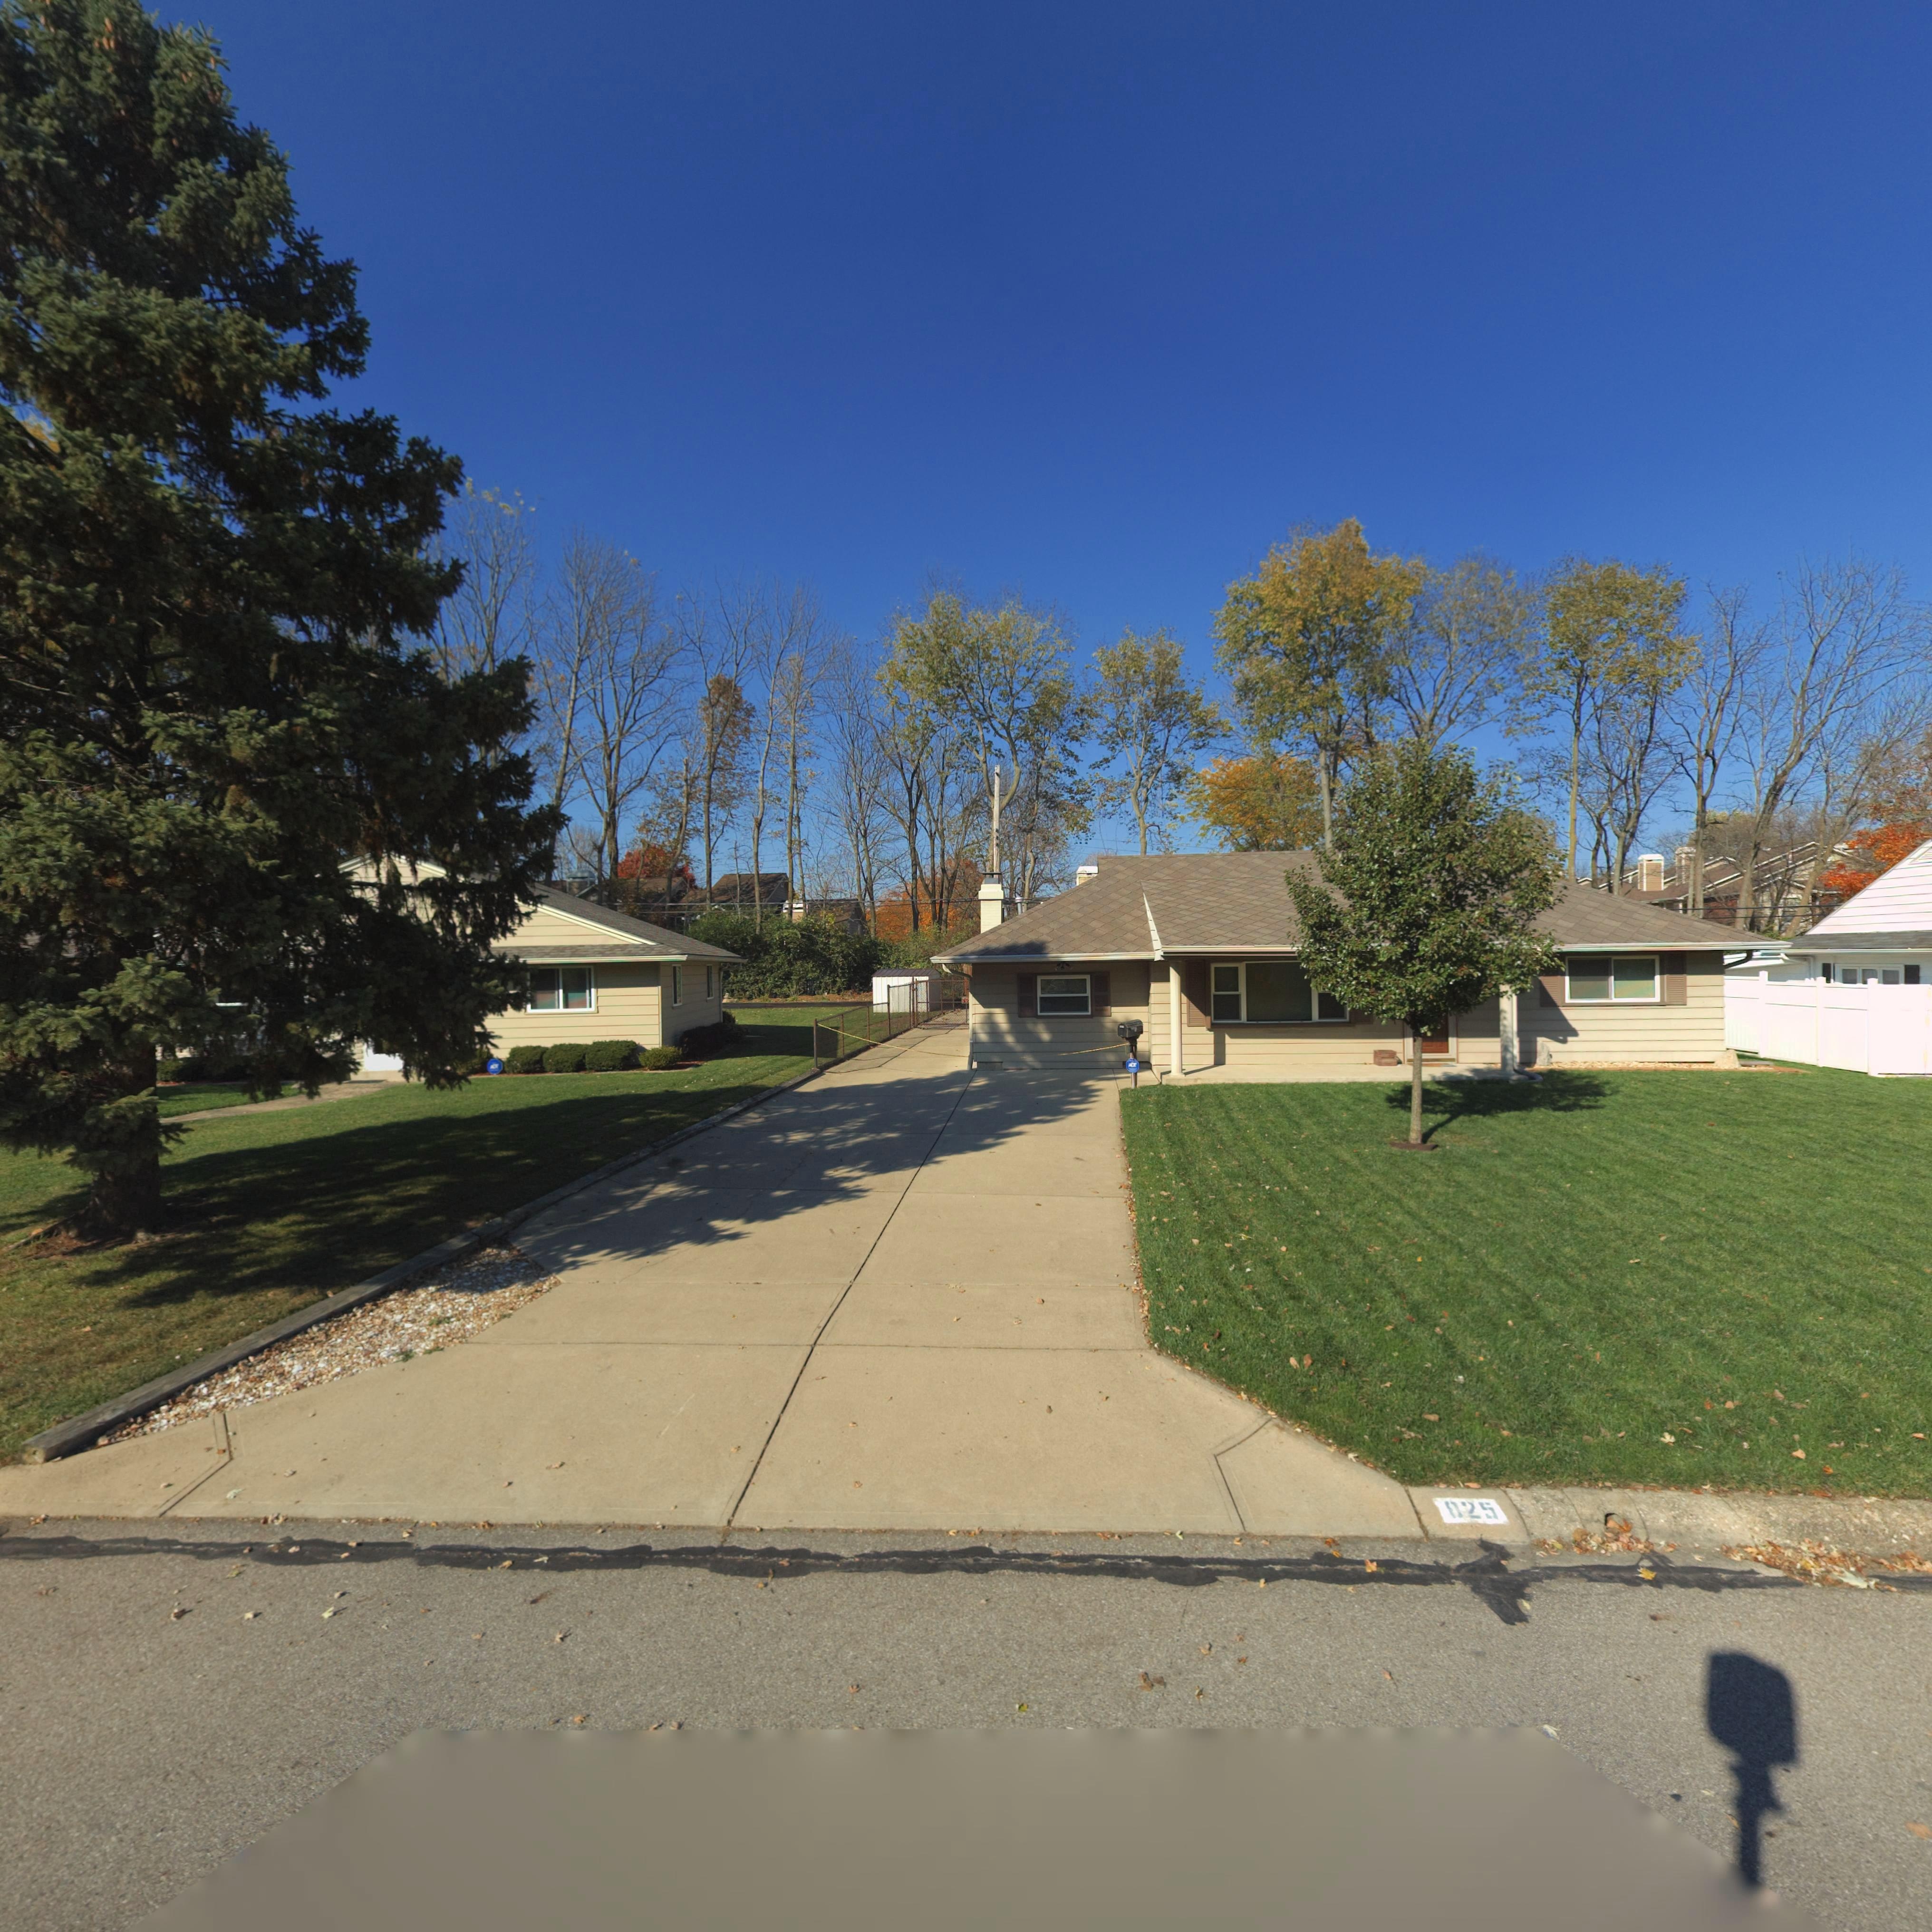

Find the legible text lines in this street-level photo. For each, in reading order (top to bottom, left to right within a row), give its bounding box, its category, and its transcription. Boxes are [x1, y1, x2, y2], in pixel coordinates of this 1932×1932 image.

[1128, 1062, 1137, 1067] None: ADT
[1442, 1499, 1503, 1520] StreetNumber: 825